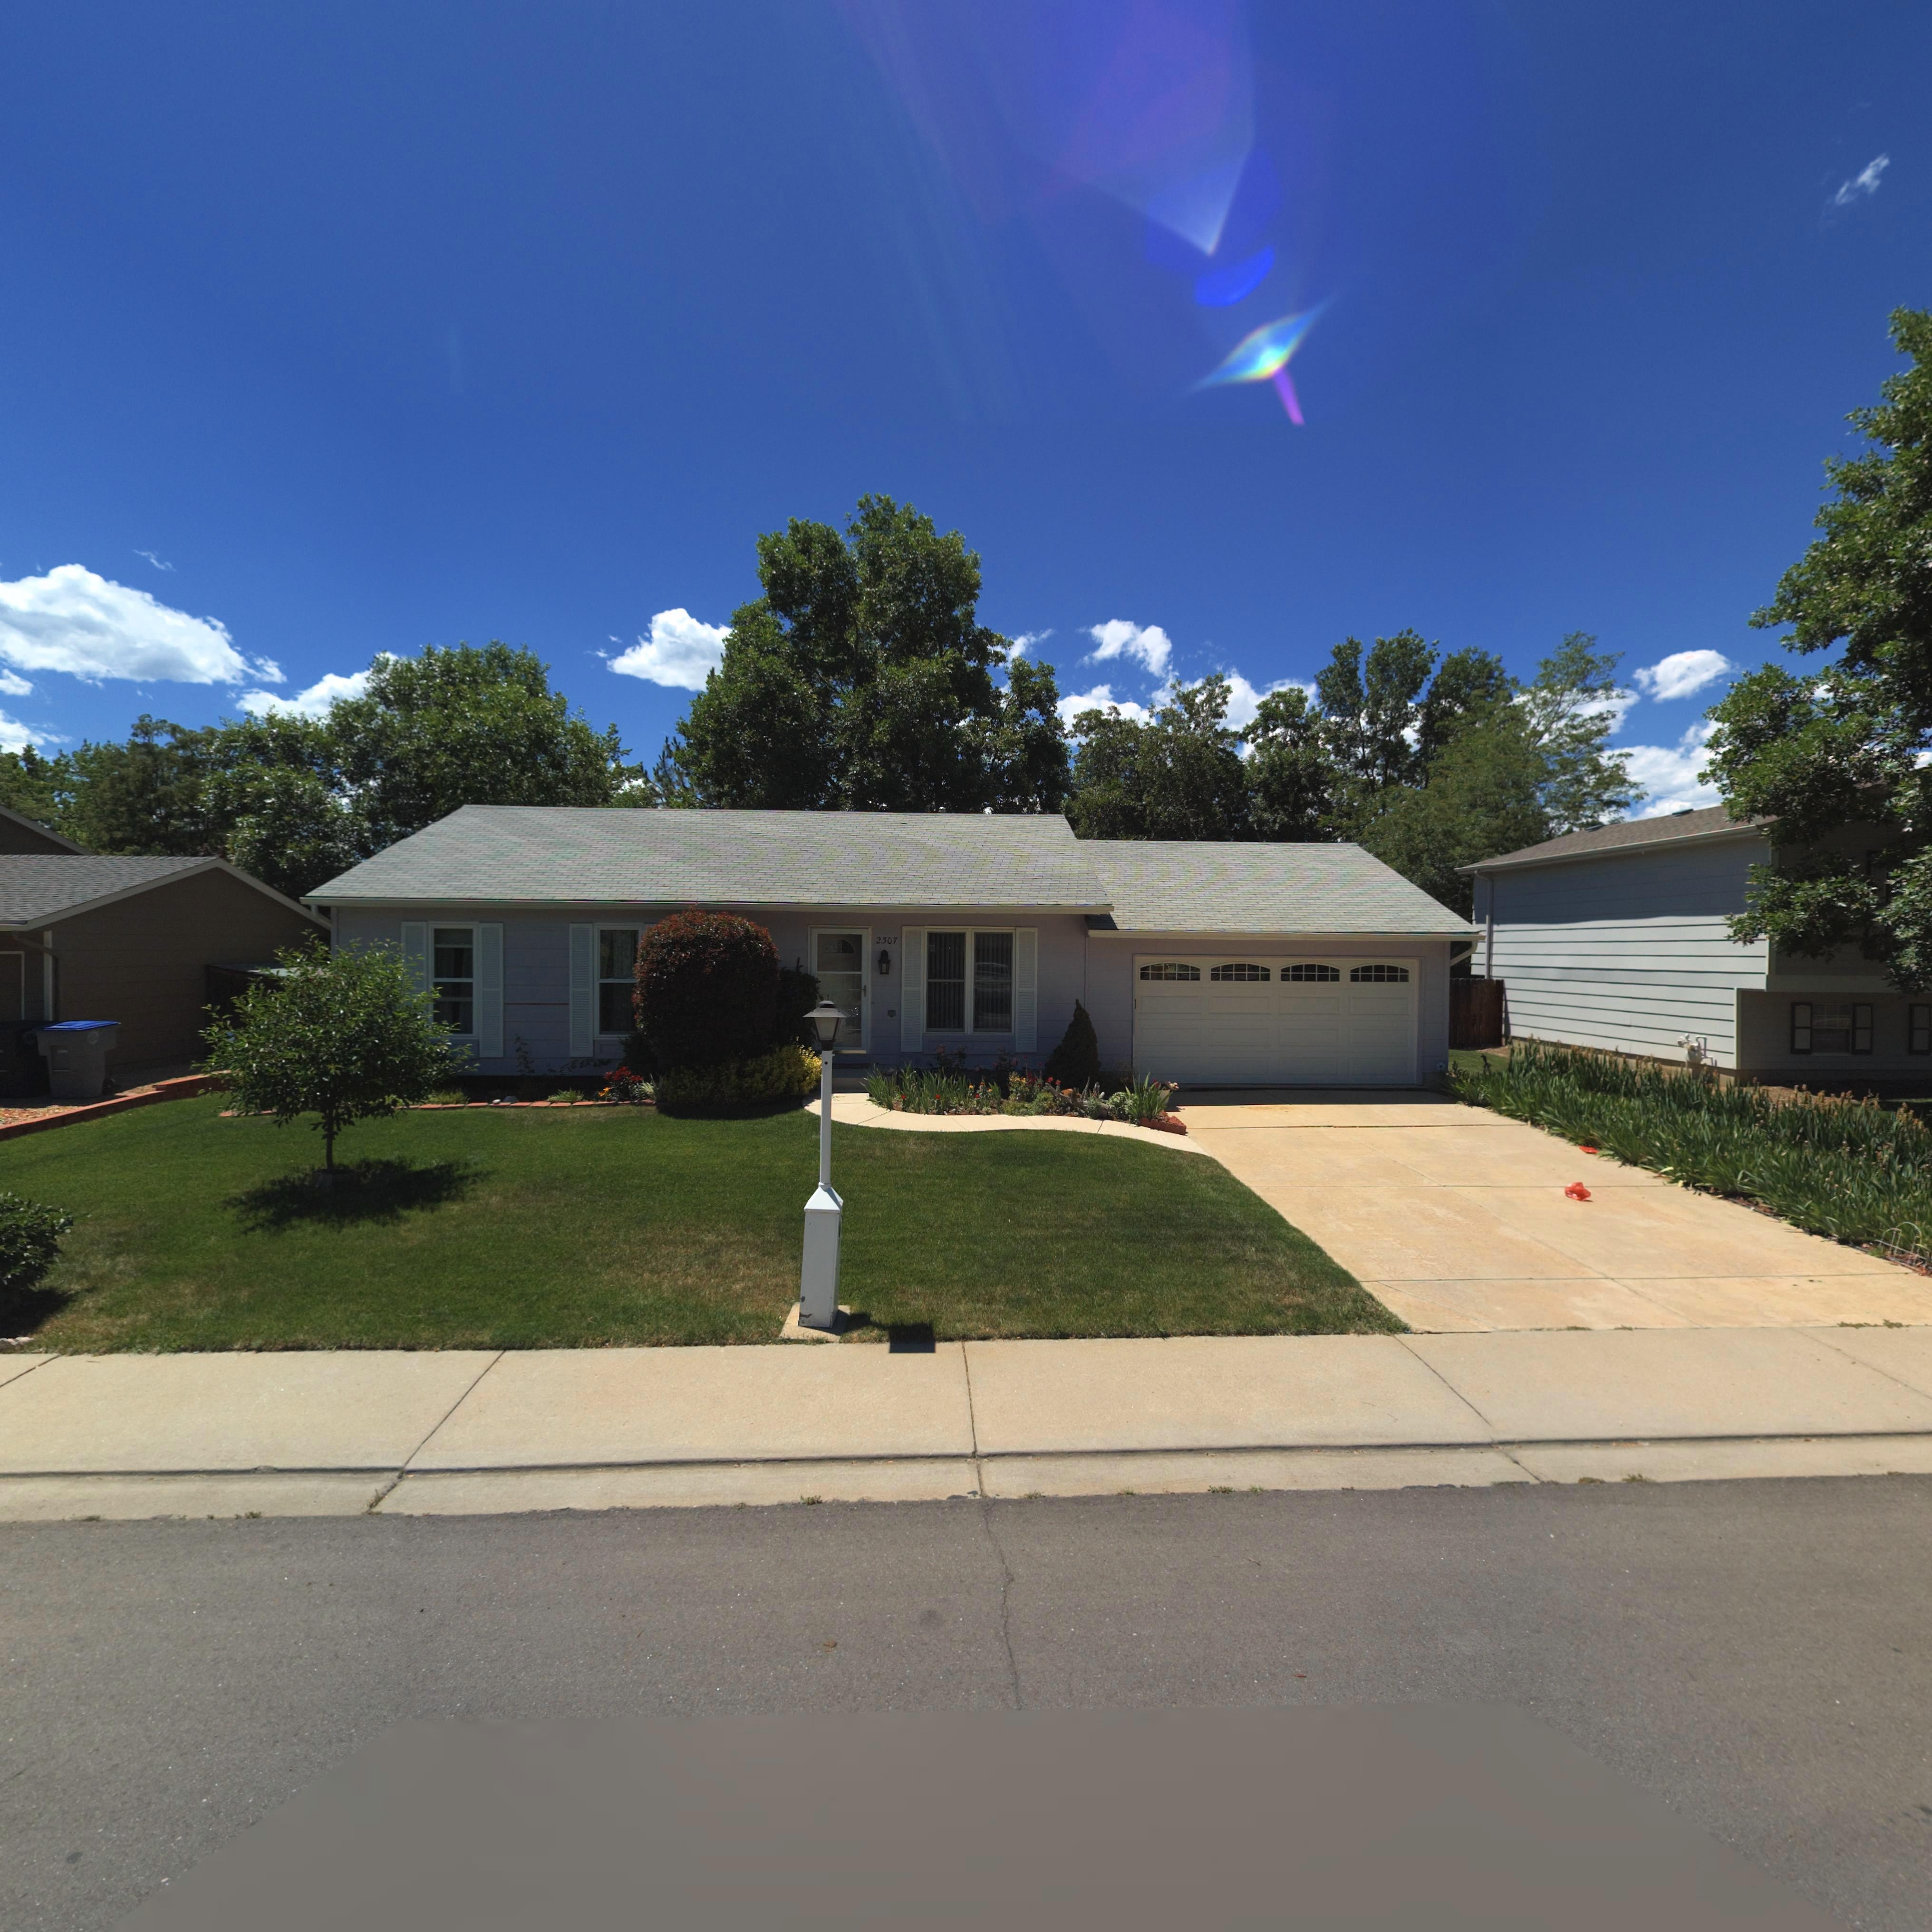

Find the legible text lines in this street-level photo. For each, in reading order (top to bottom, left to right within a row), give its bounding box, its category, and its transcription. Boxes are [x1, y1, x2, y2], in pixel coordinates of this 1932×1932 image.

[875, 937, 898, 944] StreetNumber: 2307